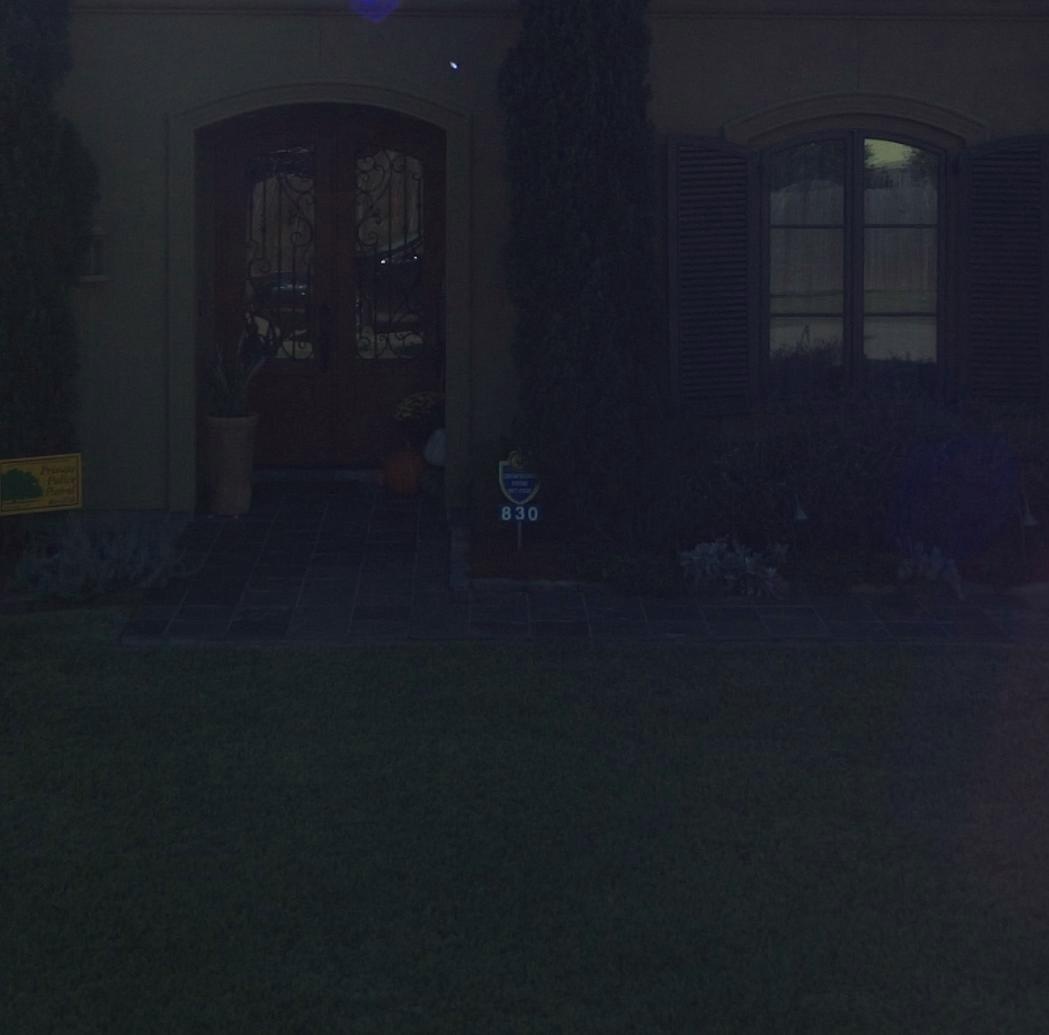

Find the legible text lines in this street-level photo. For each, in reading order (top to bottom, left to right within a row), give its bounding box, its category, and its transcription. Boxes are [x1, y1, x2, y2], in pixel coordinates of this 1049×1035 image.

[500, 505, 539, 522] StreetNumber: 830